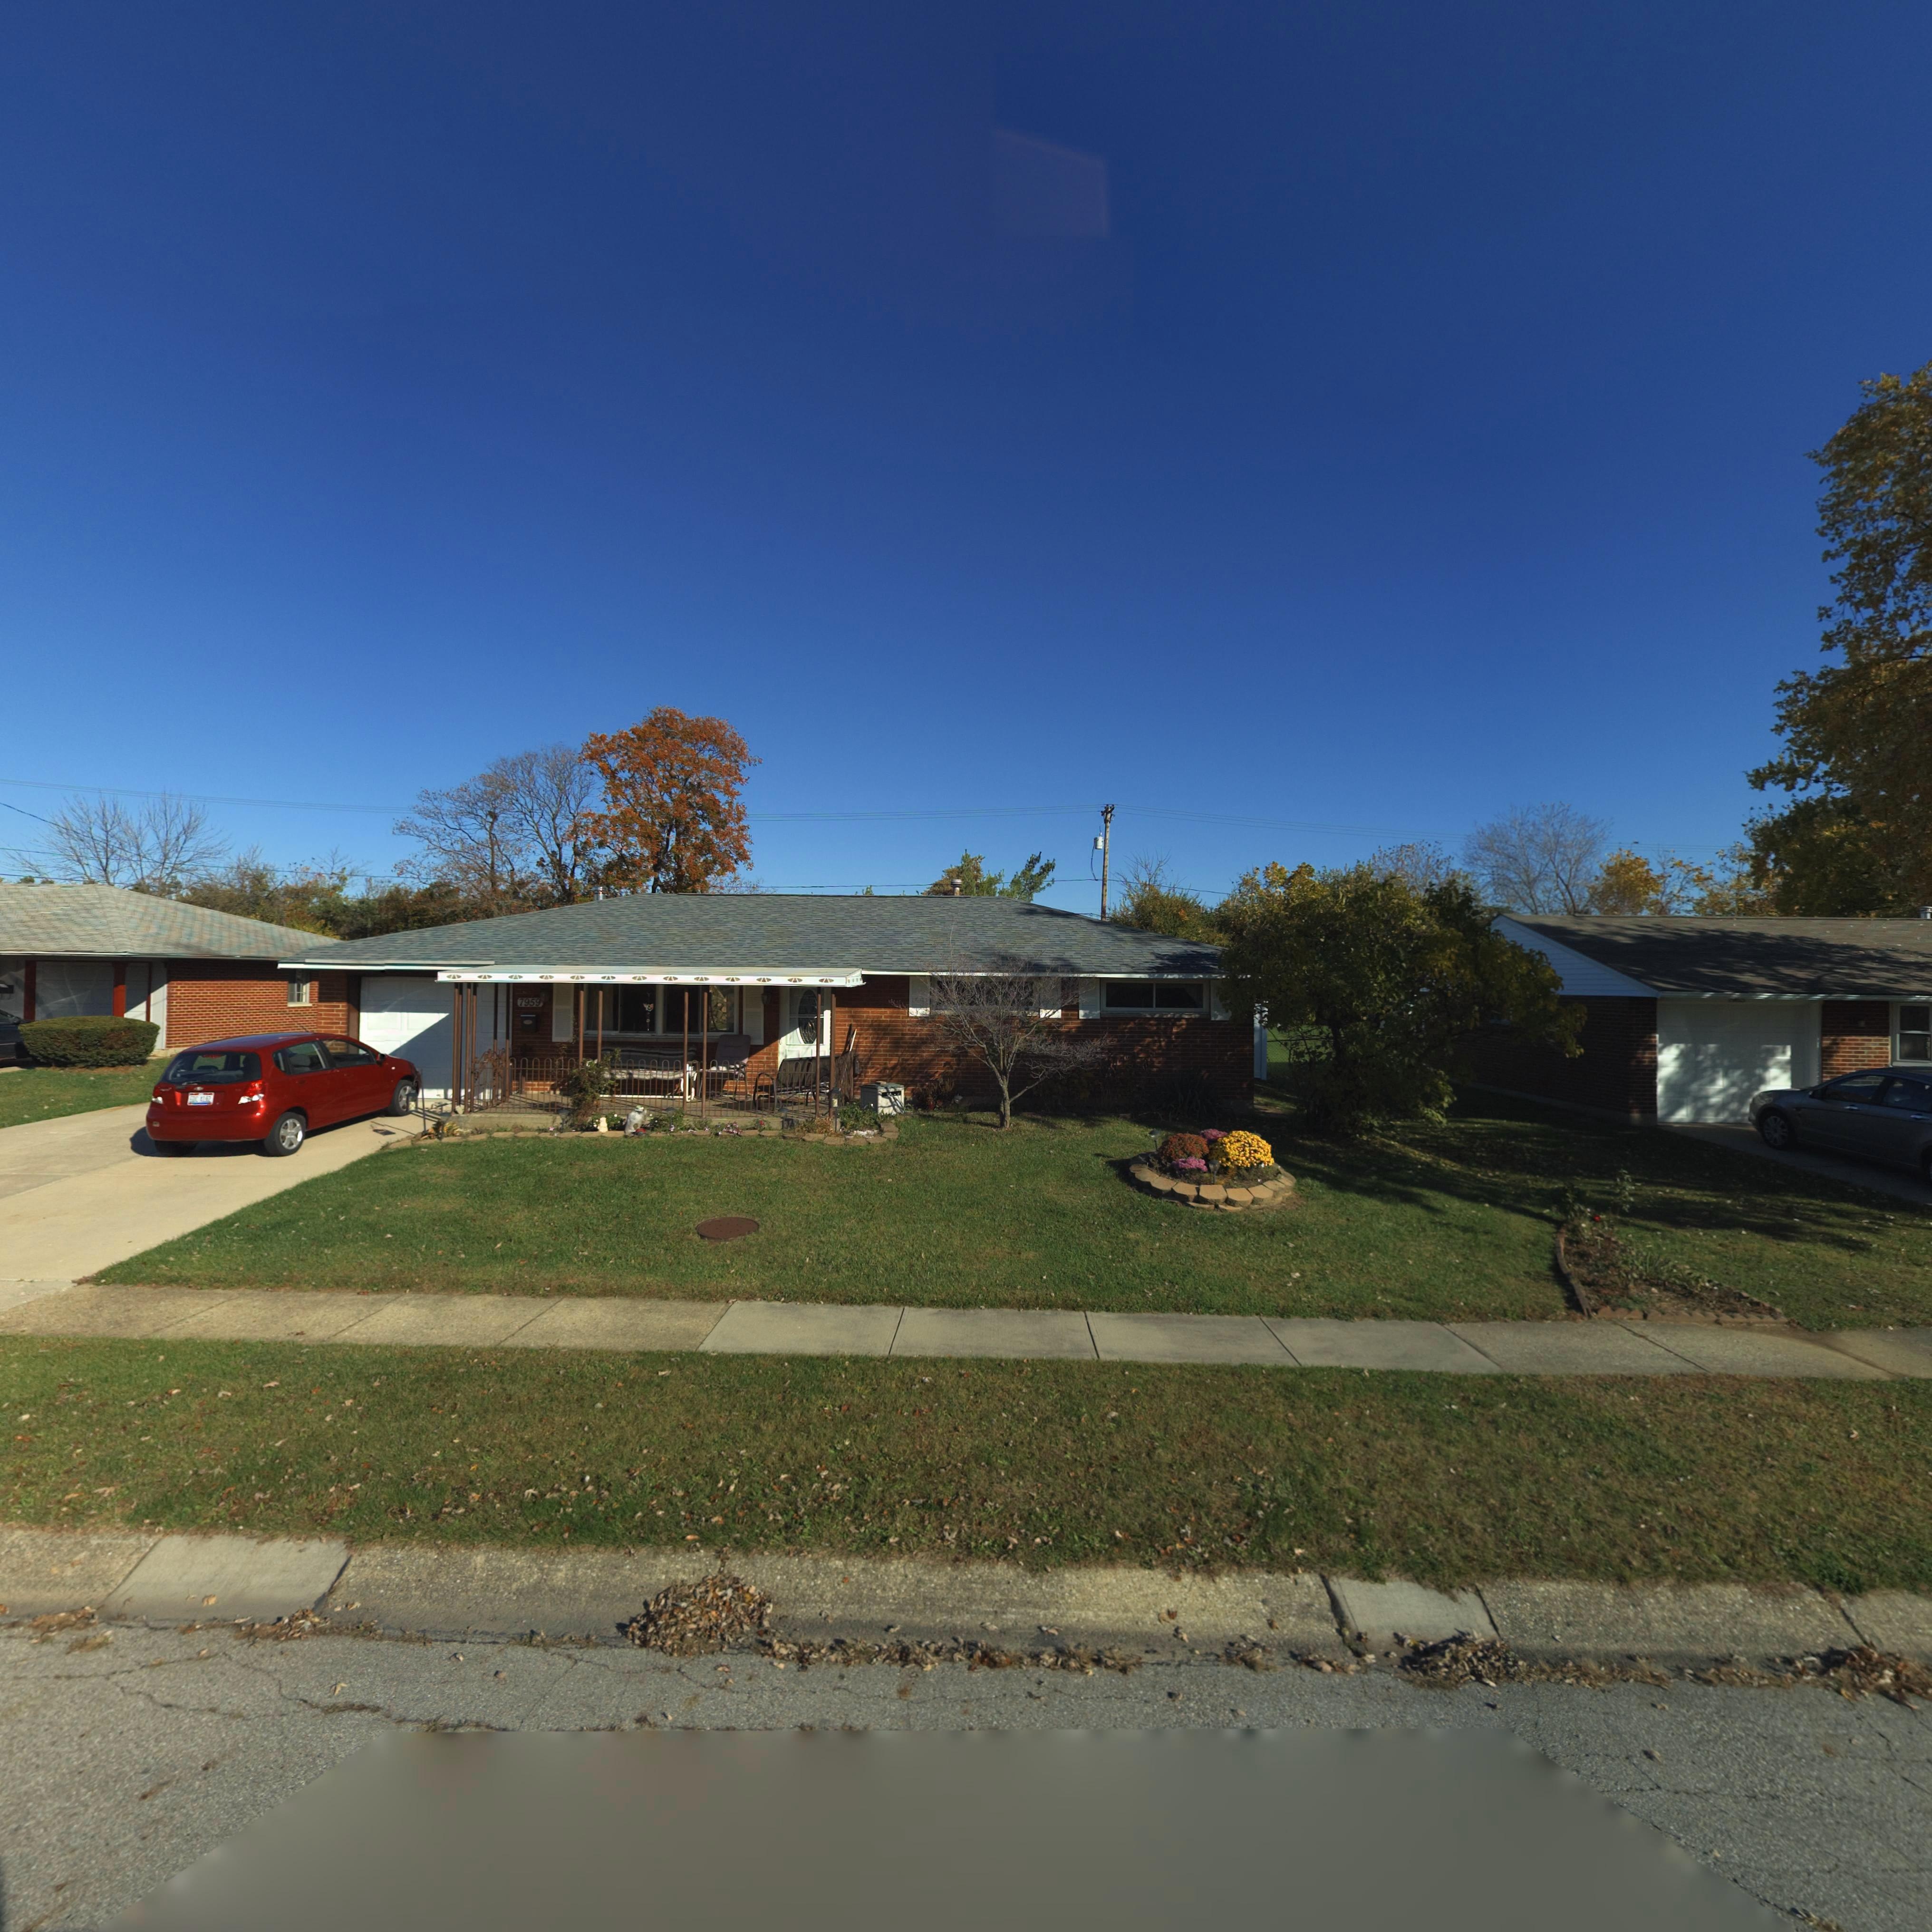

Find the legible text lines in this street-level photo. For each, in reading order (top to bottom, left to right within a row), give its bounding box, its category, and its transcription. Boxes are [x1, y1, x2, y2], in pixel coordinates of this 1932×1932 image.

[519, 998, 542, 1007] StreetNumber: 7959